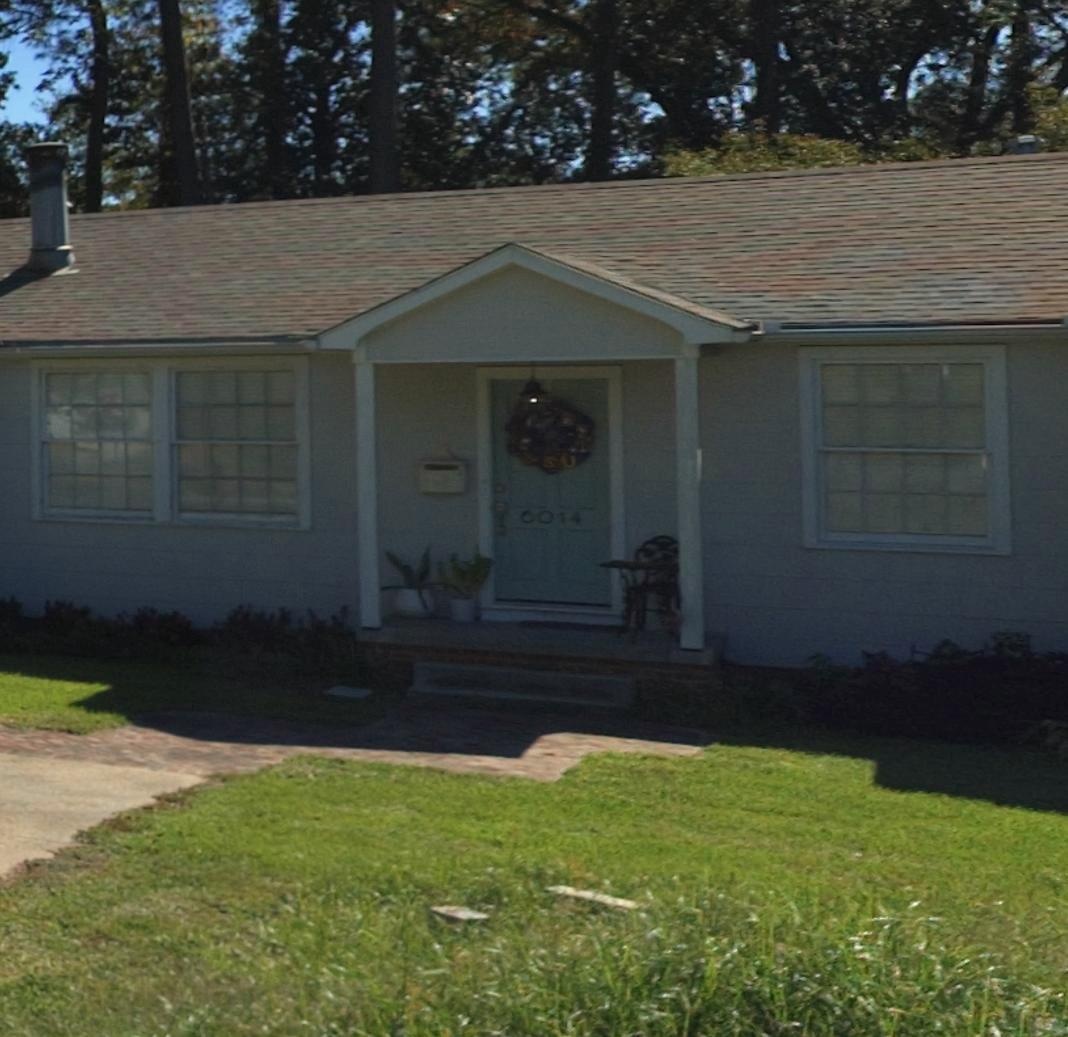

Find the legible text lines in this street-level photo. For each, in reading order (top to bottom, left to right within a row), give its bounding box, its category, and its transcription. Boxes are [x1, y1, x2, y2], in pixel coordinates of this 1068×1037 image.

[518, 506, 585, 529] StreetNumber: 6014